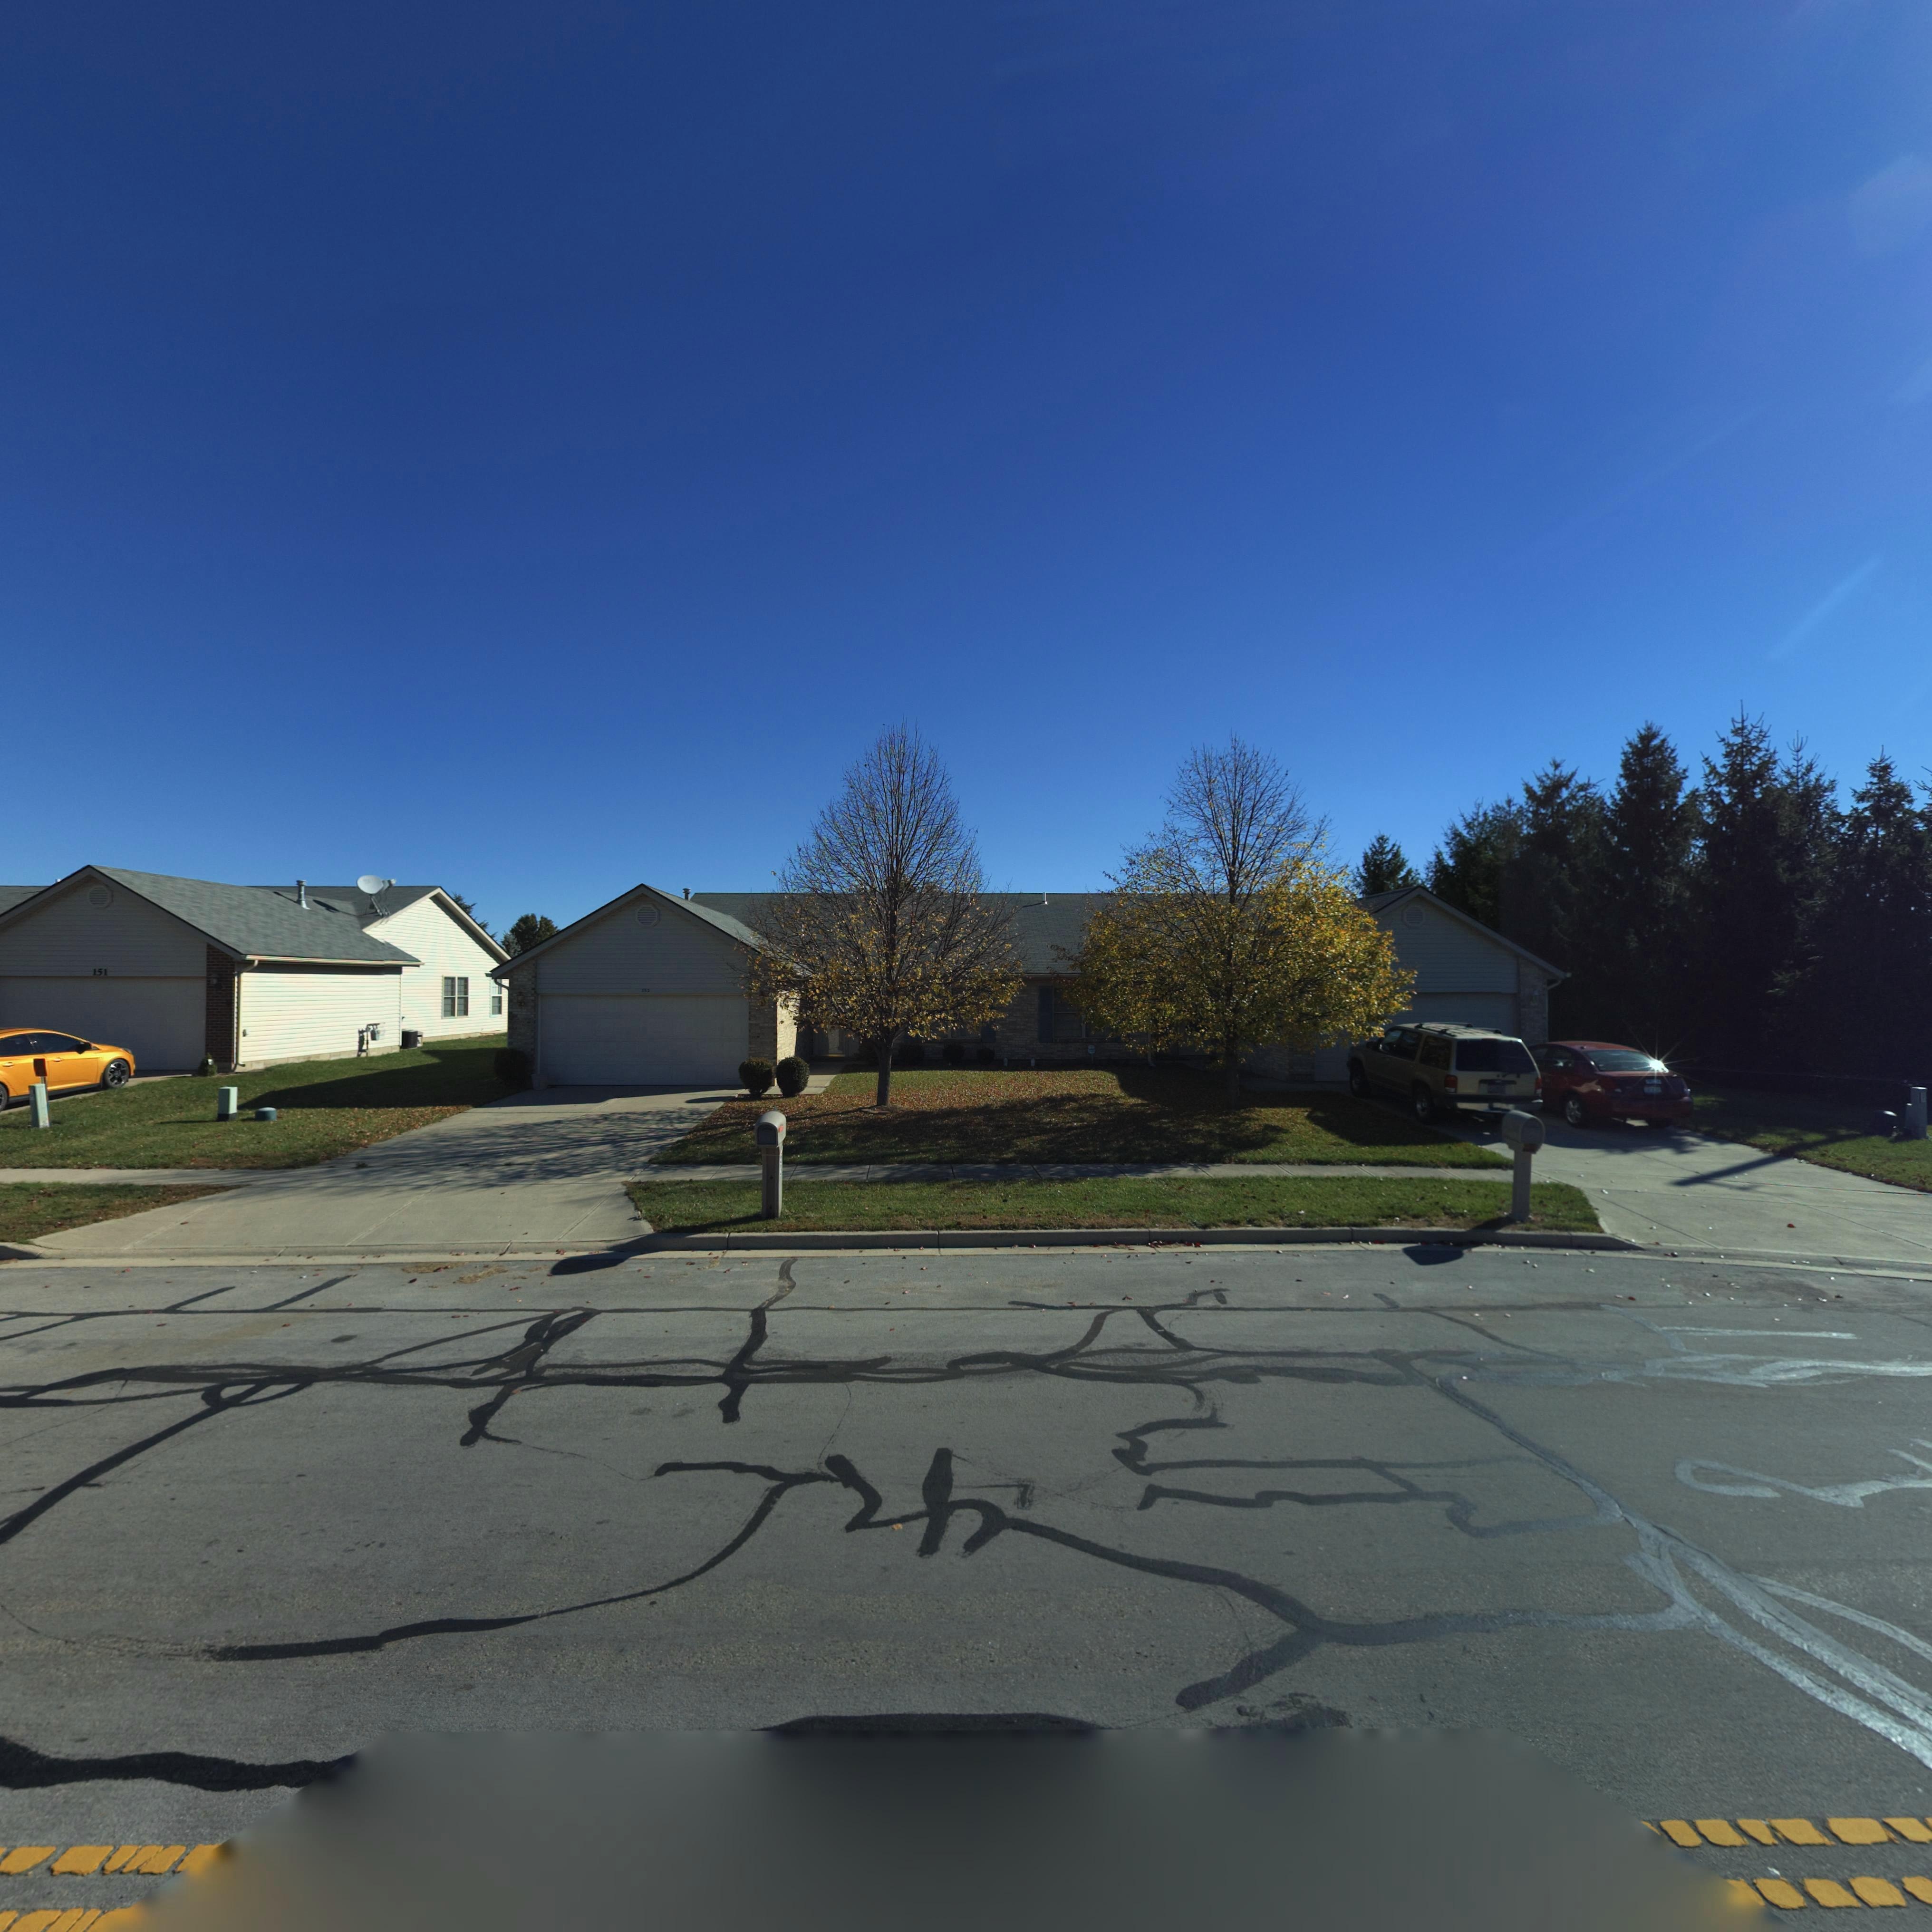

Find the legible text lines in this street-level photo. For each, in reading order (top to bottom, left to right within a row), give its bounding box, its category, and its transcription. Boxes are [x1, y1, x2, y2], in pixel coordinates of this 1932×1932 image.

[92, 968, 108, 976] StreetNumber: 151
[641, 988, 650, 993] StreetNumber: 1*3